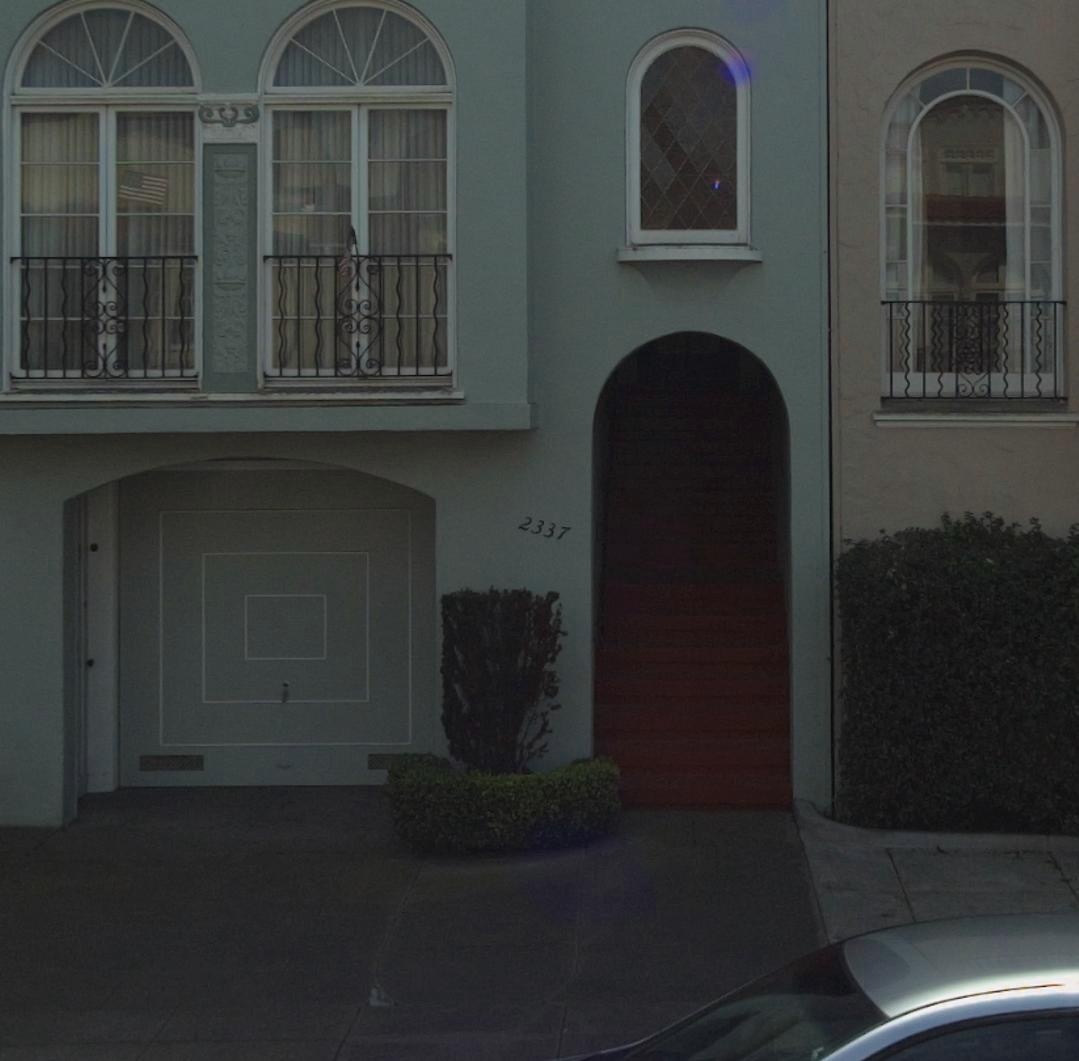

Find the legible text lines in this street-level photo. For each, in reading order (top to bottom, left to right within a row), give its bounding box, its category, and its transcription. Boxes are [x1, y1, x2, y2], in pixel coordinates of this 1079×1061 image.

[513, 514, 574, 544] StreetNumber: 2337